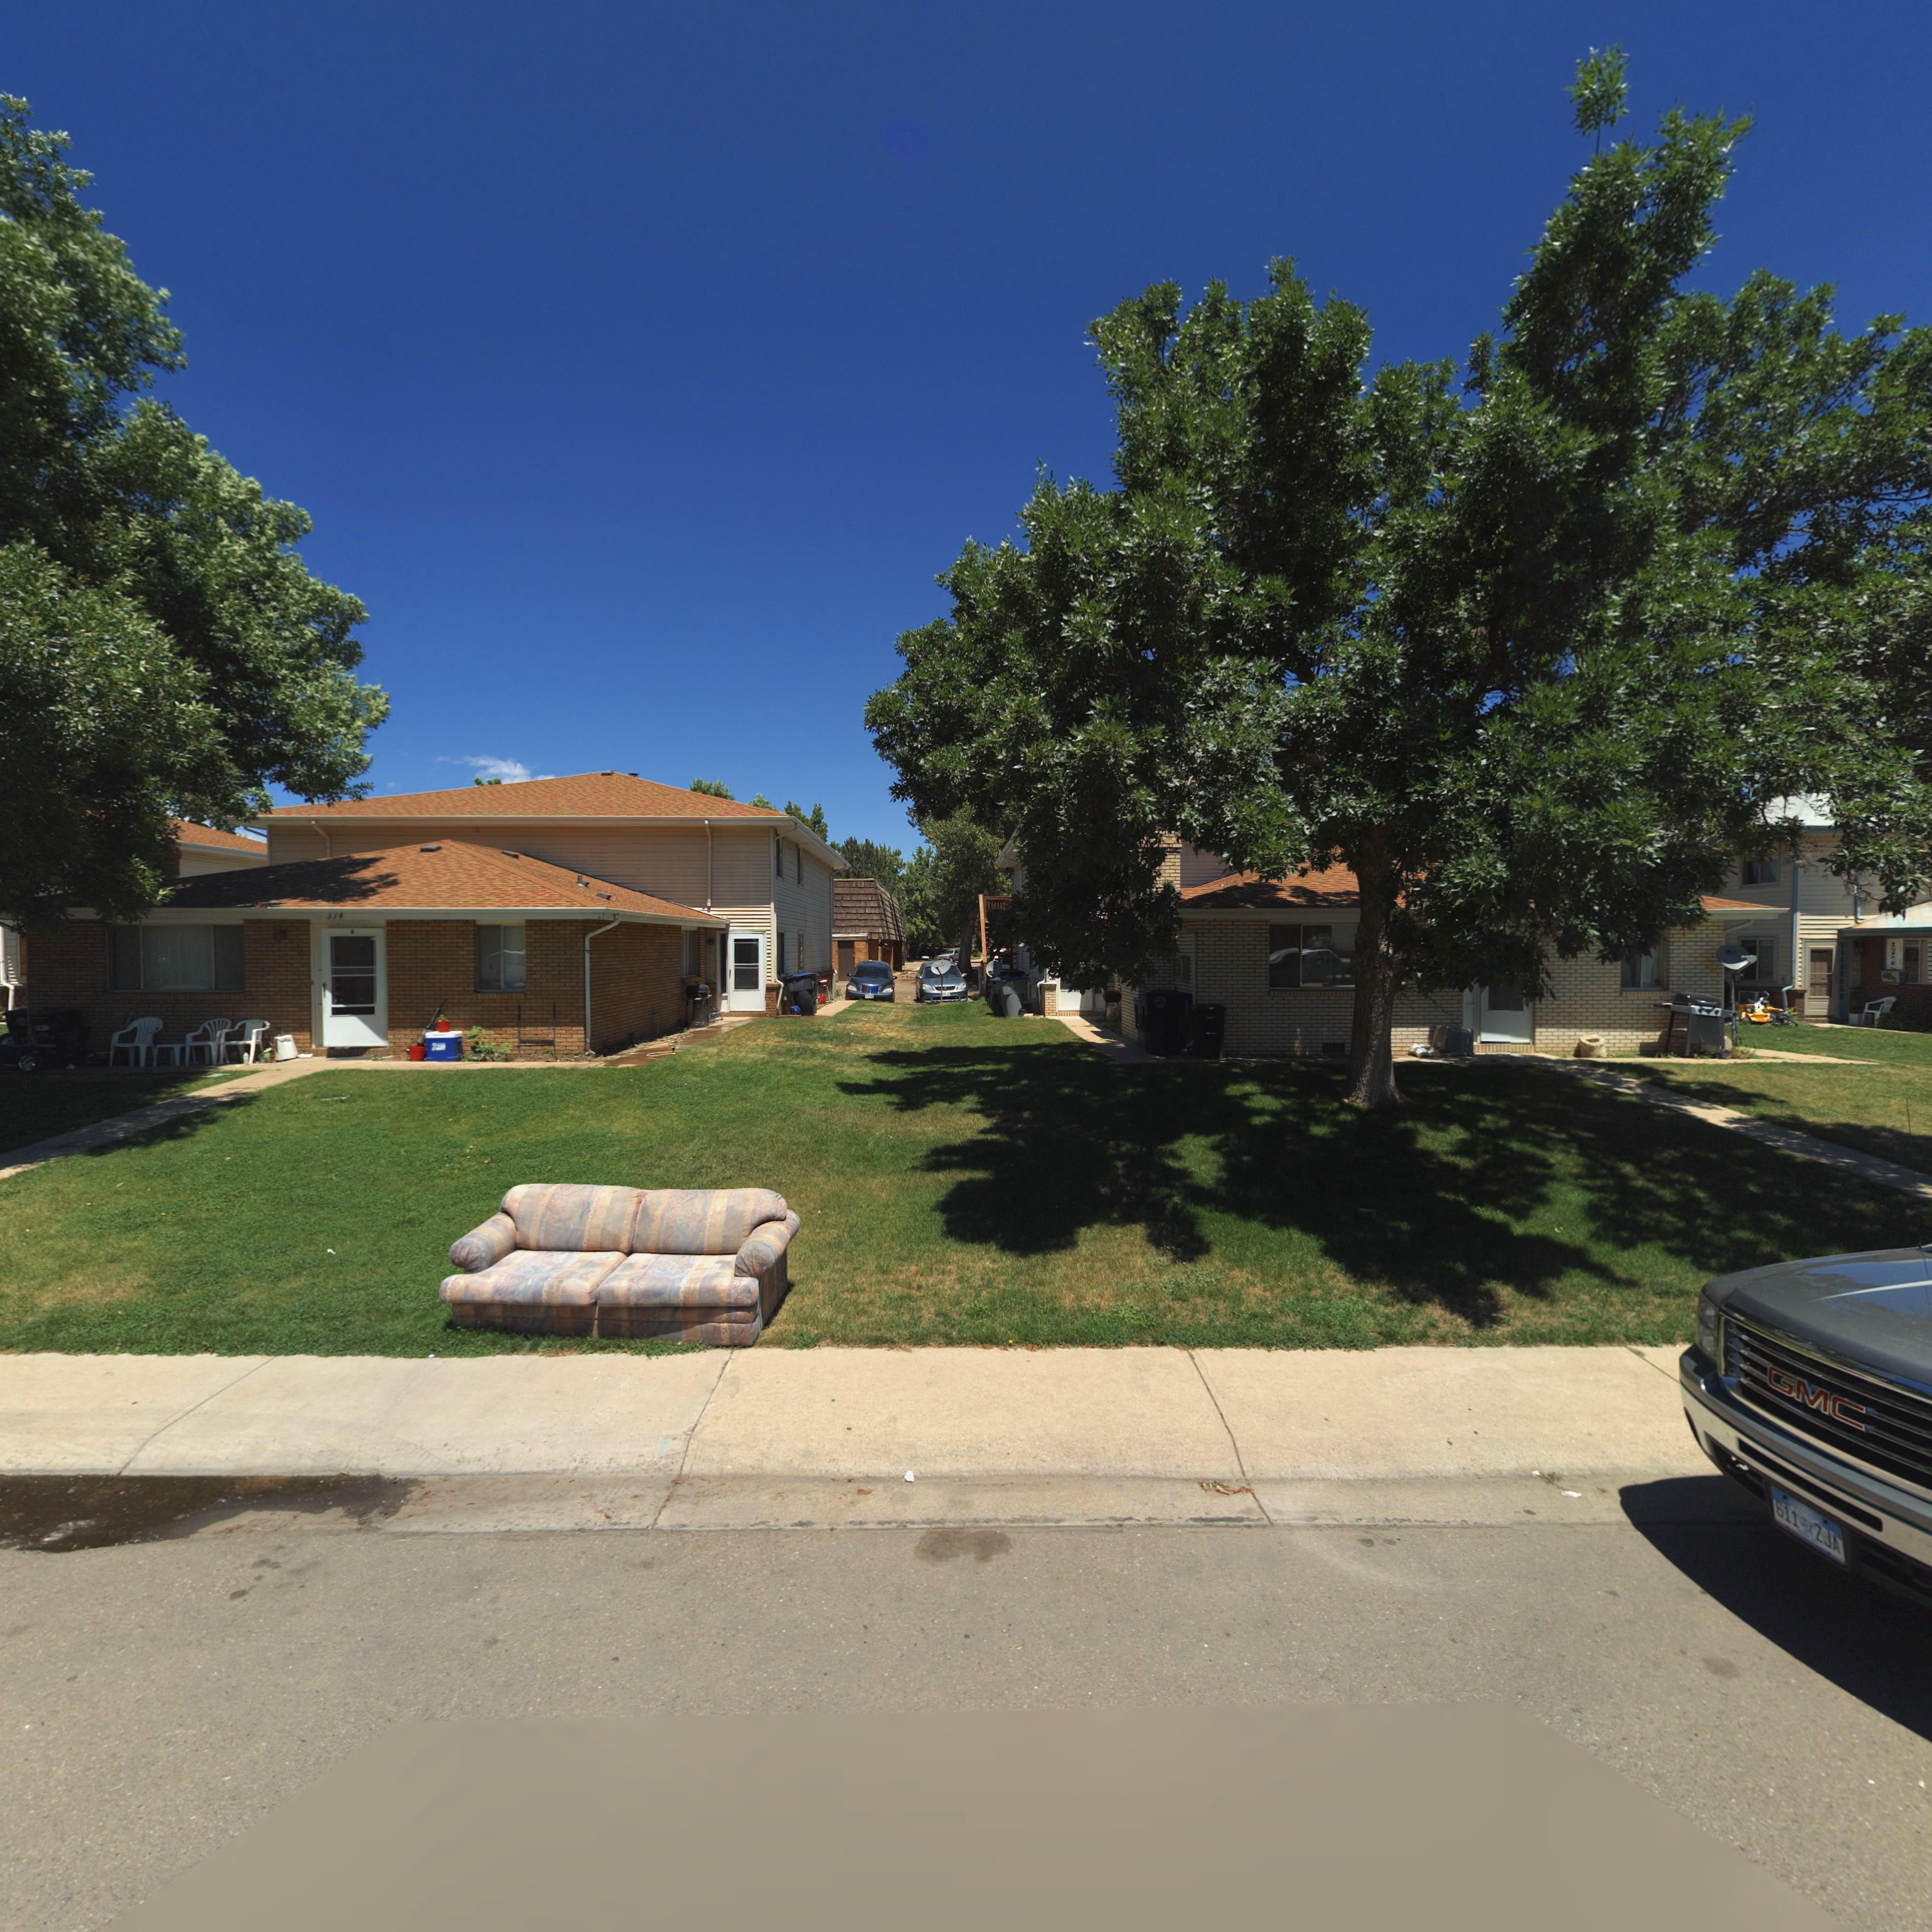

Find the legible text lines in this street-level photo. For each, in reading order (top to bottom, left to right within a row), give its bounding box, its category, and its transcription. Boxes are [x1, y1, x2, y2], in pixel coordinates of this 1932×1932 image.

[326, 911, 343, 919] StreetNumber: 334
[349, 929, 354, 934] StreetNumber: A